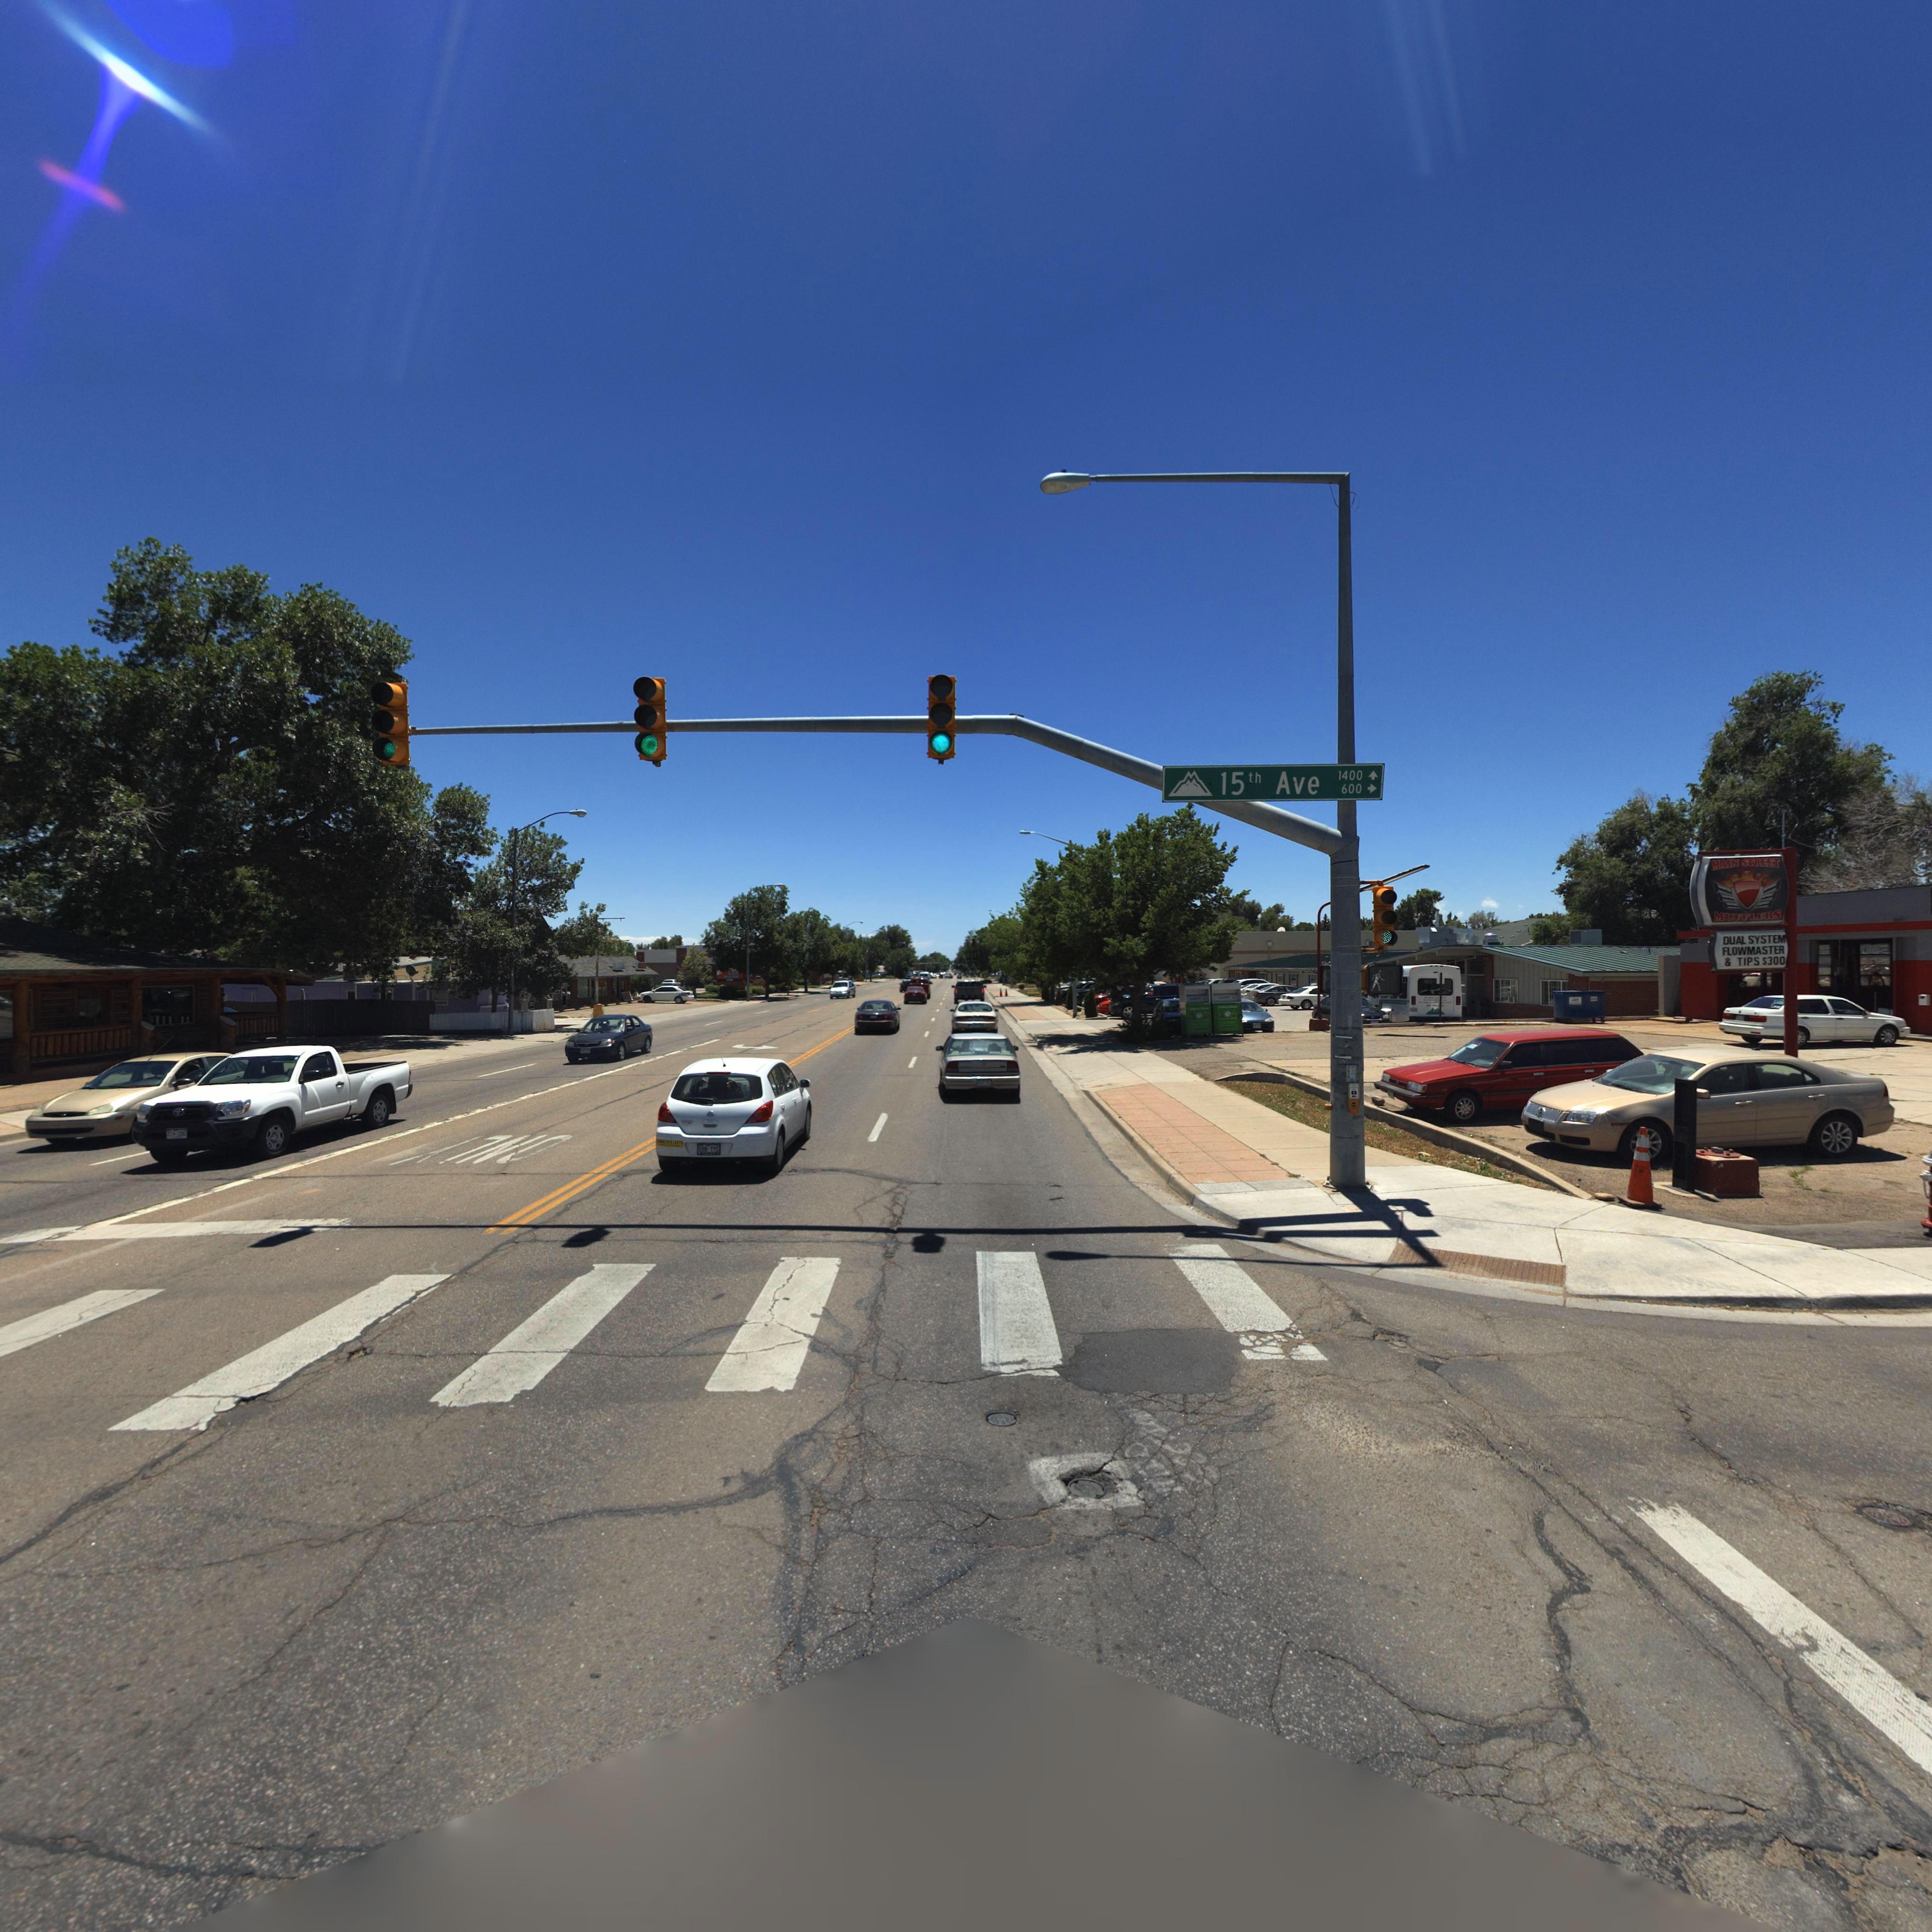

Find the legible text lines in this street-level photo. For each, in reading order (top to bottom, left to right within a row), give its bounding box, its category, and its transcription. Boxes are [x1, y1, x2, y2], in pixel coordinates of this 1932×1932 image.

[1338, 770, 1362, 781] StreetNumberRange: 1400
[1220, 771, 1320, 797] StreetName: 15th Ave
[1340, 783, 1378, 793] StreetNumberRange: 600->
[1711, 858, 1780, 872] BusinessName: MAIN STREET
[1713, 909, 1781, 921] BusinessName: MUFFLERS